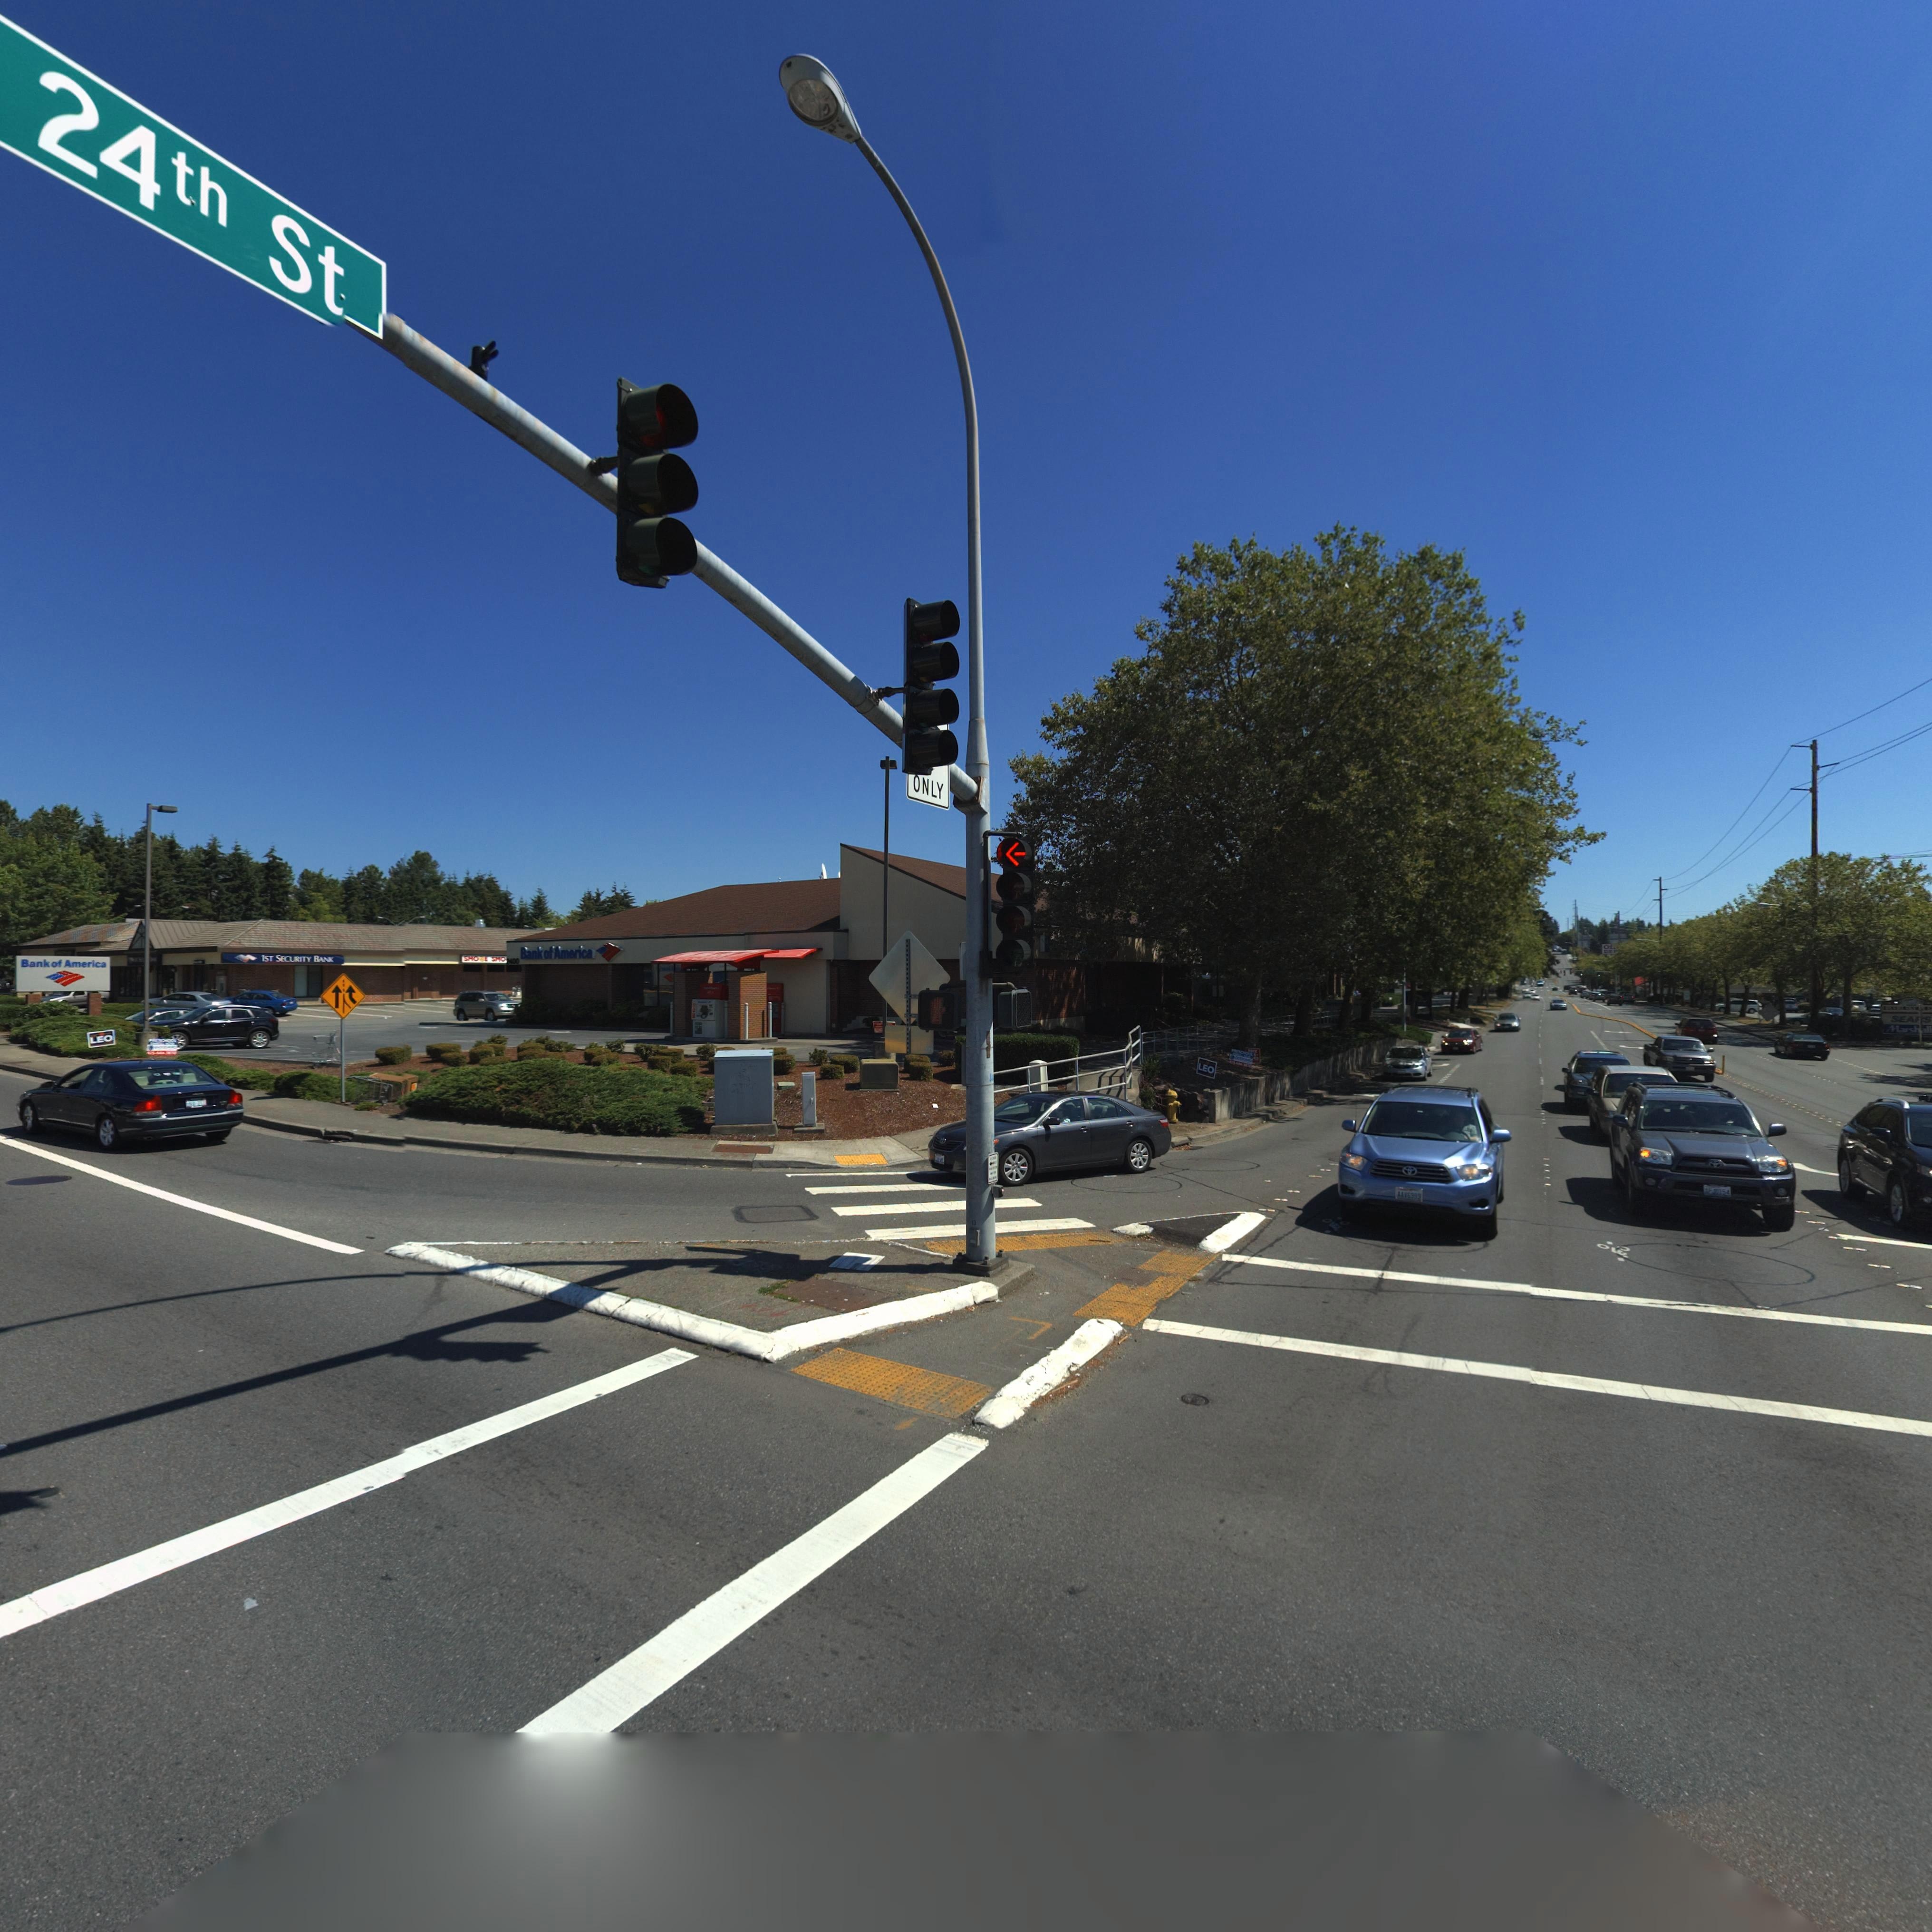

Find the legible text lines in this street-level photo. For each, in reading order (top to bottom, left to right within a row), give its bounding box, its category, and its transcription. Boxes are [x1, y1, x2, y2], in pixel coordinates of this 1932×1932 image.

[266, 208, 345, 319] StreetName: St
[261, 954, 334, 962] None: 1ST SECURITY BANK
[520, 945, 595, 958] BusinessName: Bank of America